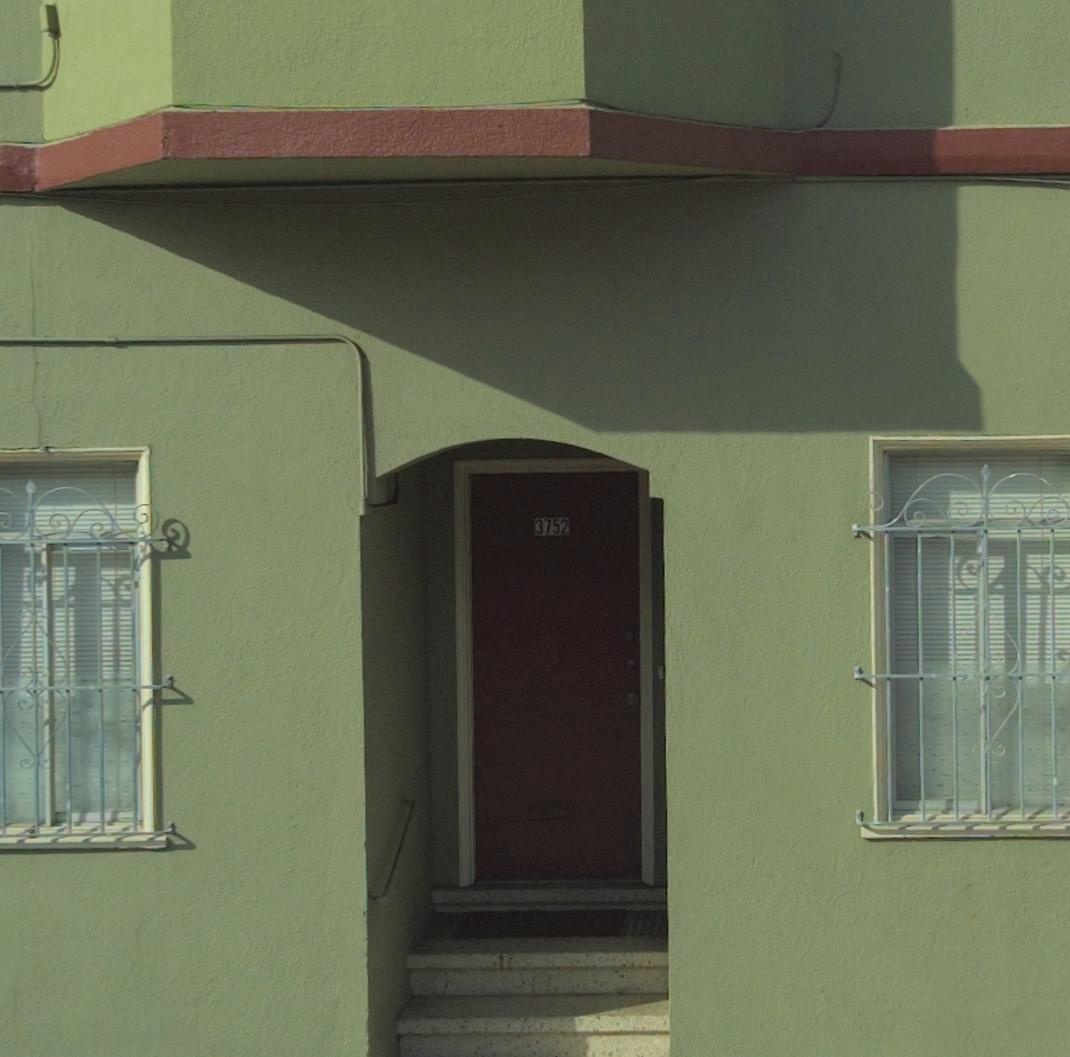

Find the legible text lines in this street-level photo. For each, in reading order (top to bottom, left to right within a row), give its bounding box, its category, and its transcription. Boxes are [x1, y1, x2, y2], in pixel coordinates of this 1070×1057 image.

[535, 518, 569, 536] StreetNumber: 3752